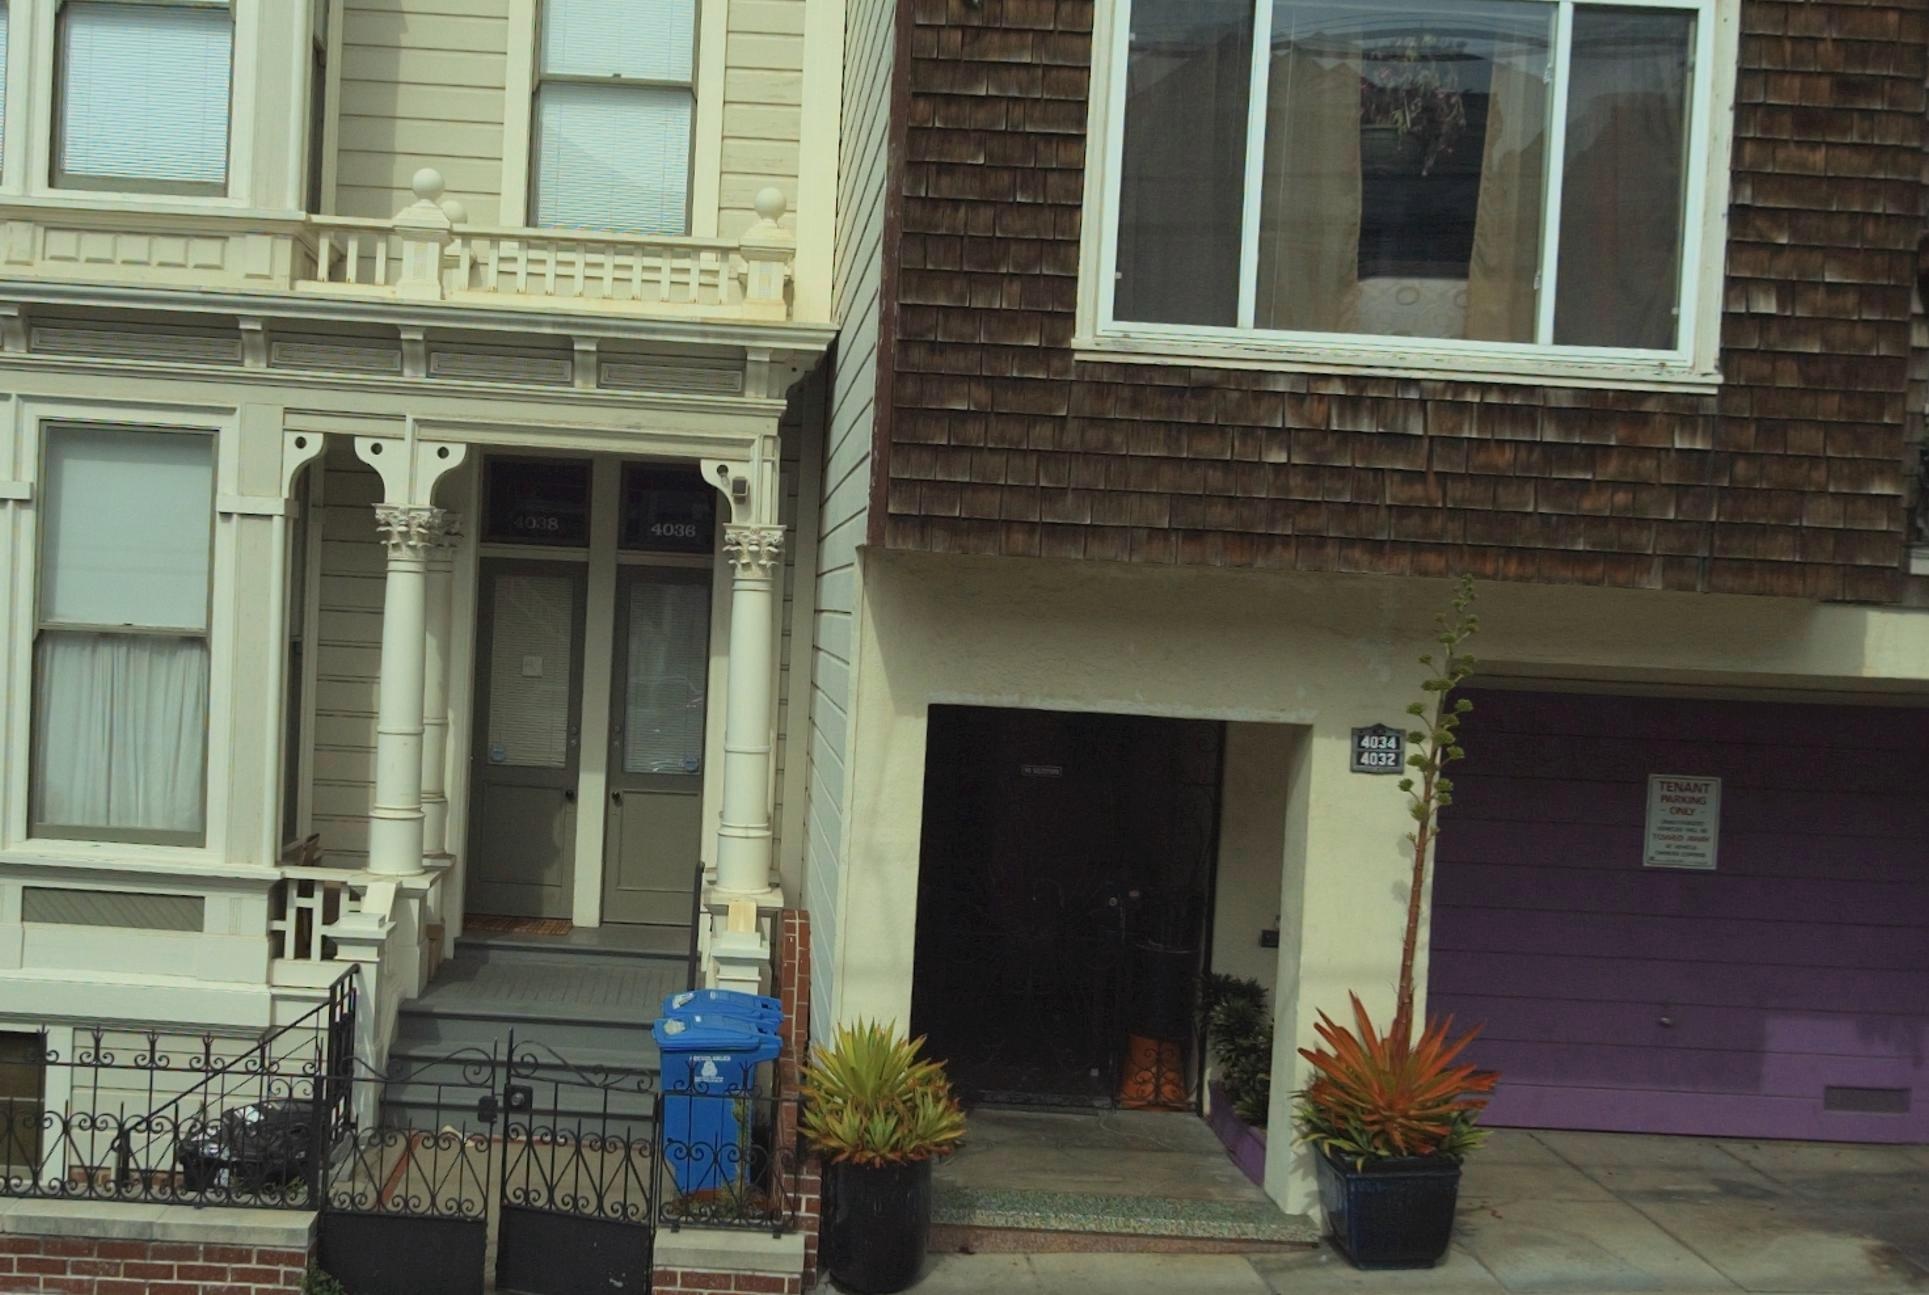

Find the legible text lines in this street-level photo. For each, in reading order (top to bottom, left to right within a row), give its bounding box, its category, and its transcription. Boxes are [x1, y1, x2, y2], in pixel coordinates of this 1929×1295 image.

[512, 513, 559, 532] StreetNumber: 4038
[650, 522, 697, 538] StreetNumber: 4036
[1358, 735, 1398, 749] StreetNumber: 4034
[1358, 751, 1397, 766] StreetNumber: 4032
[1024, 766, 1059, 776] None: NO **********
[1658, 780, 1713, 794] None: TENANT
[1660, 793, 1710, 806] None: PARKING
[1669, 805, 1696, 817] None: ONLY
[1651, 832, 1684, 841] None: TO**D